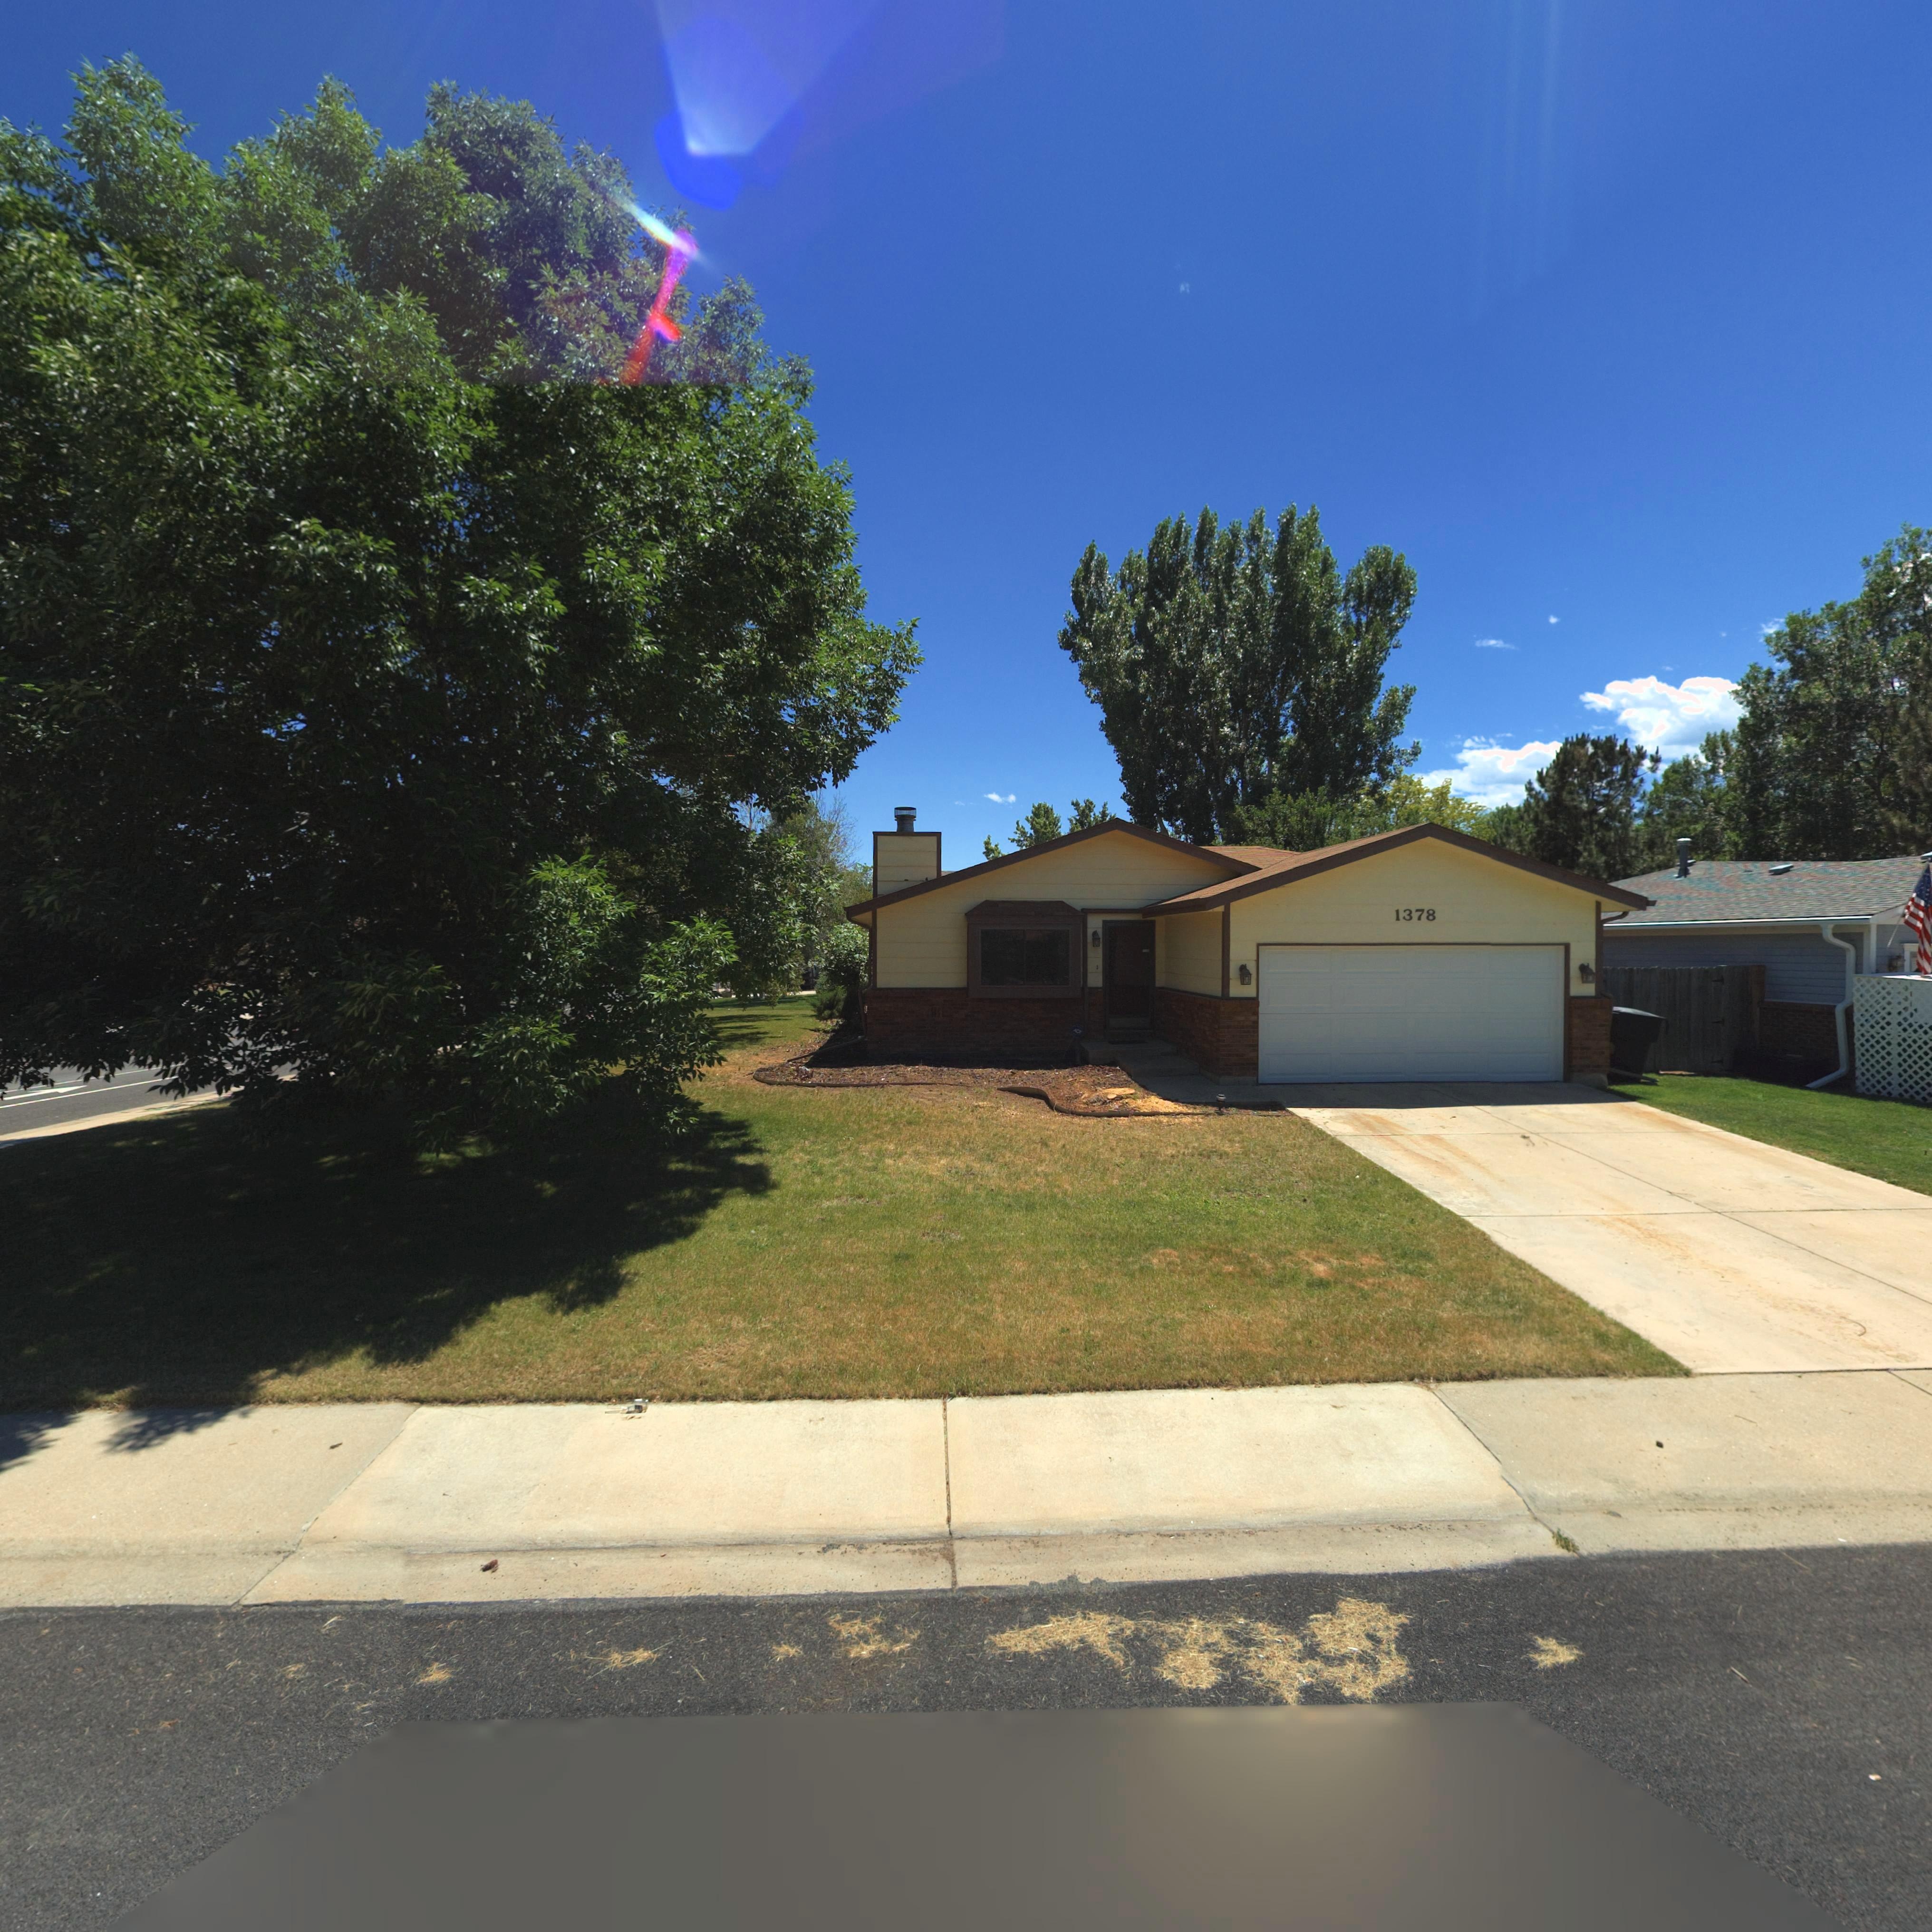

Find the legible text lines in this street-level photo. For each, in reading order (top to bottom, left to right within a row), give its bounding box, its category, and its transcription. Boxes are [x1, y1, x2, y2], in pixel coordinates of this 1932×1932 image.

[1394, 908, 1436, 921] StreetNumber: 1378